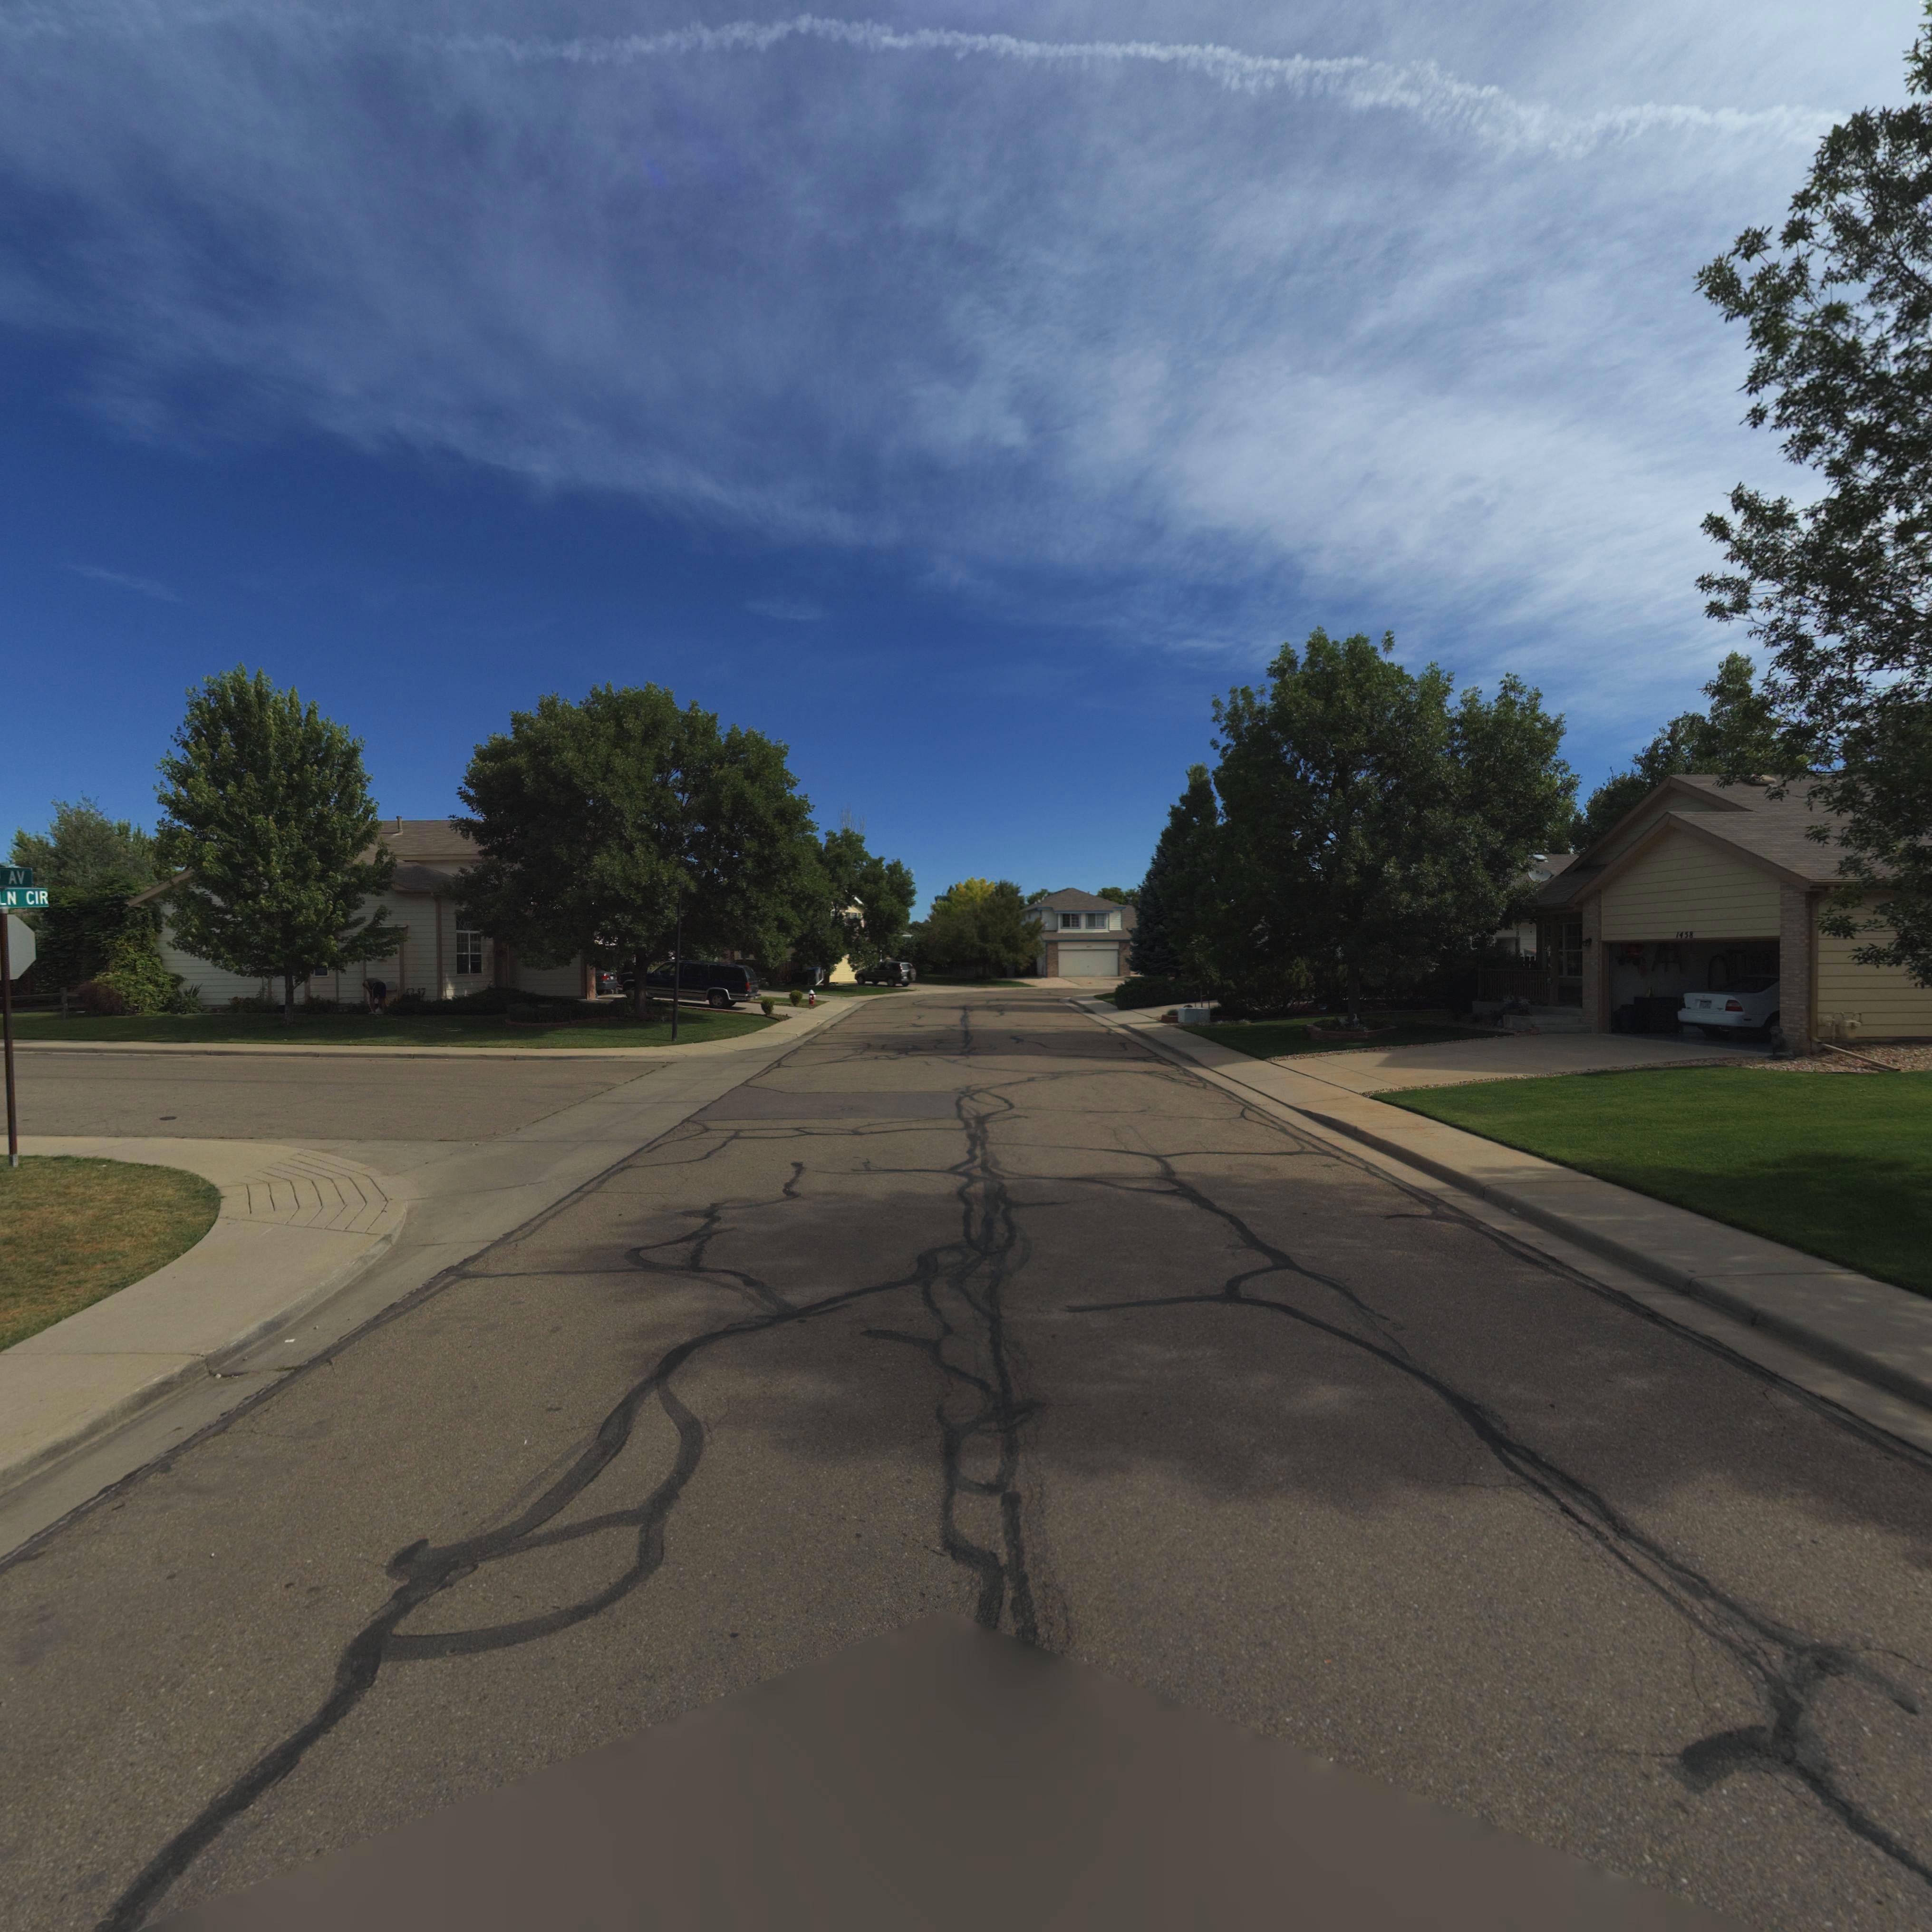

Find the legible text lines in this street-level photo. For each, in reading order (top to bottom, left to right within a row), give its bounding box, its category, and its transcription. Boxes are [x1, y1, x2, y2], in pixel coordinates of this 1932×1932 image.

[8, 869, 25, 885] StreetName: AV
[6, 890, 49, 905] StreetName: N CIR
[1675, 930, 1694, 938] StreetNumber: 1458